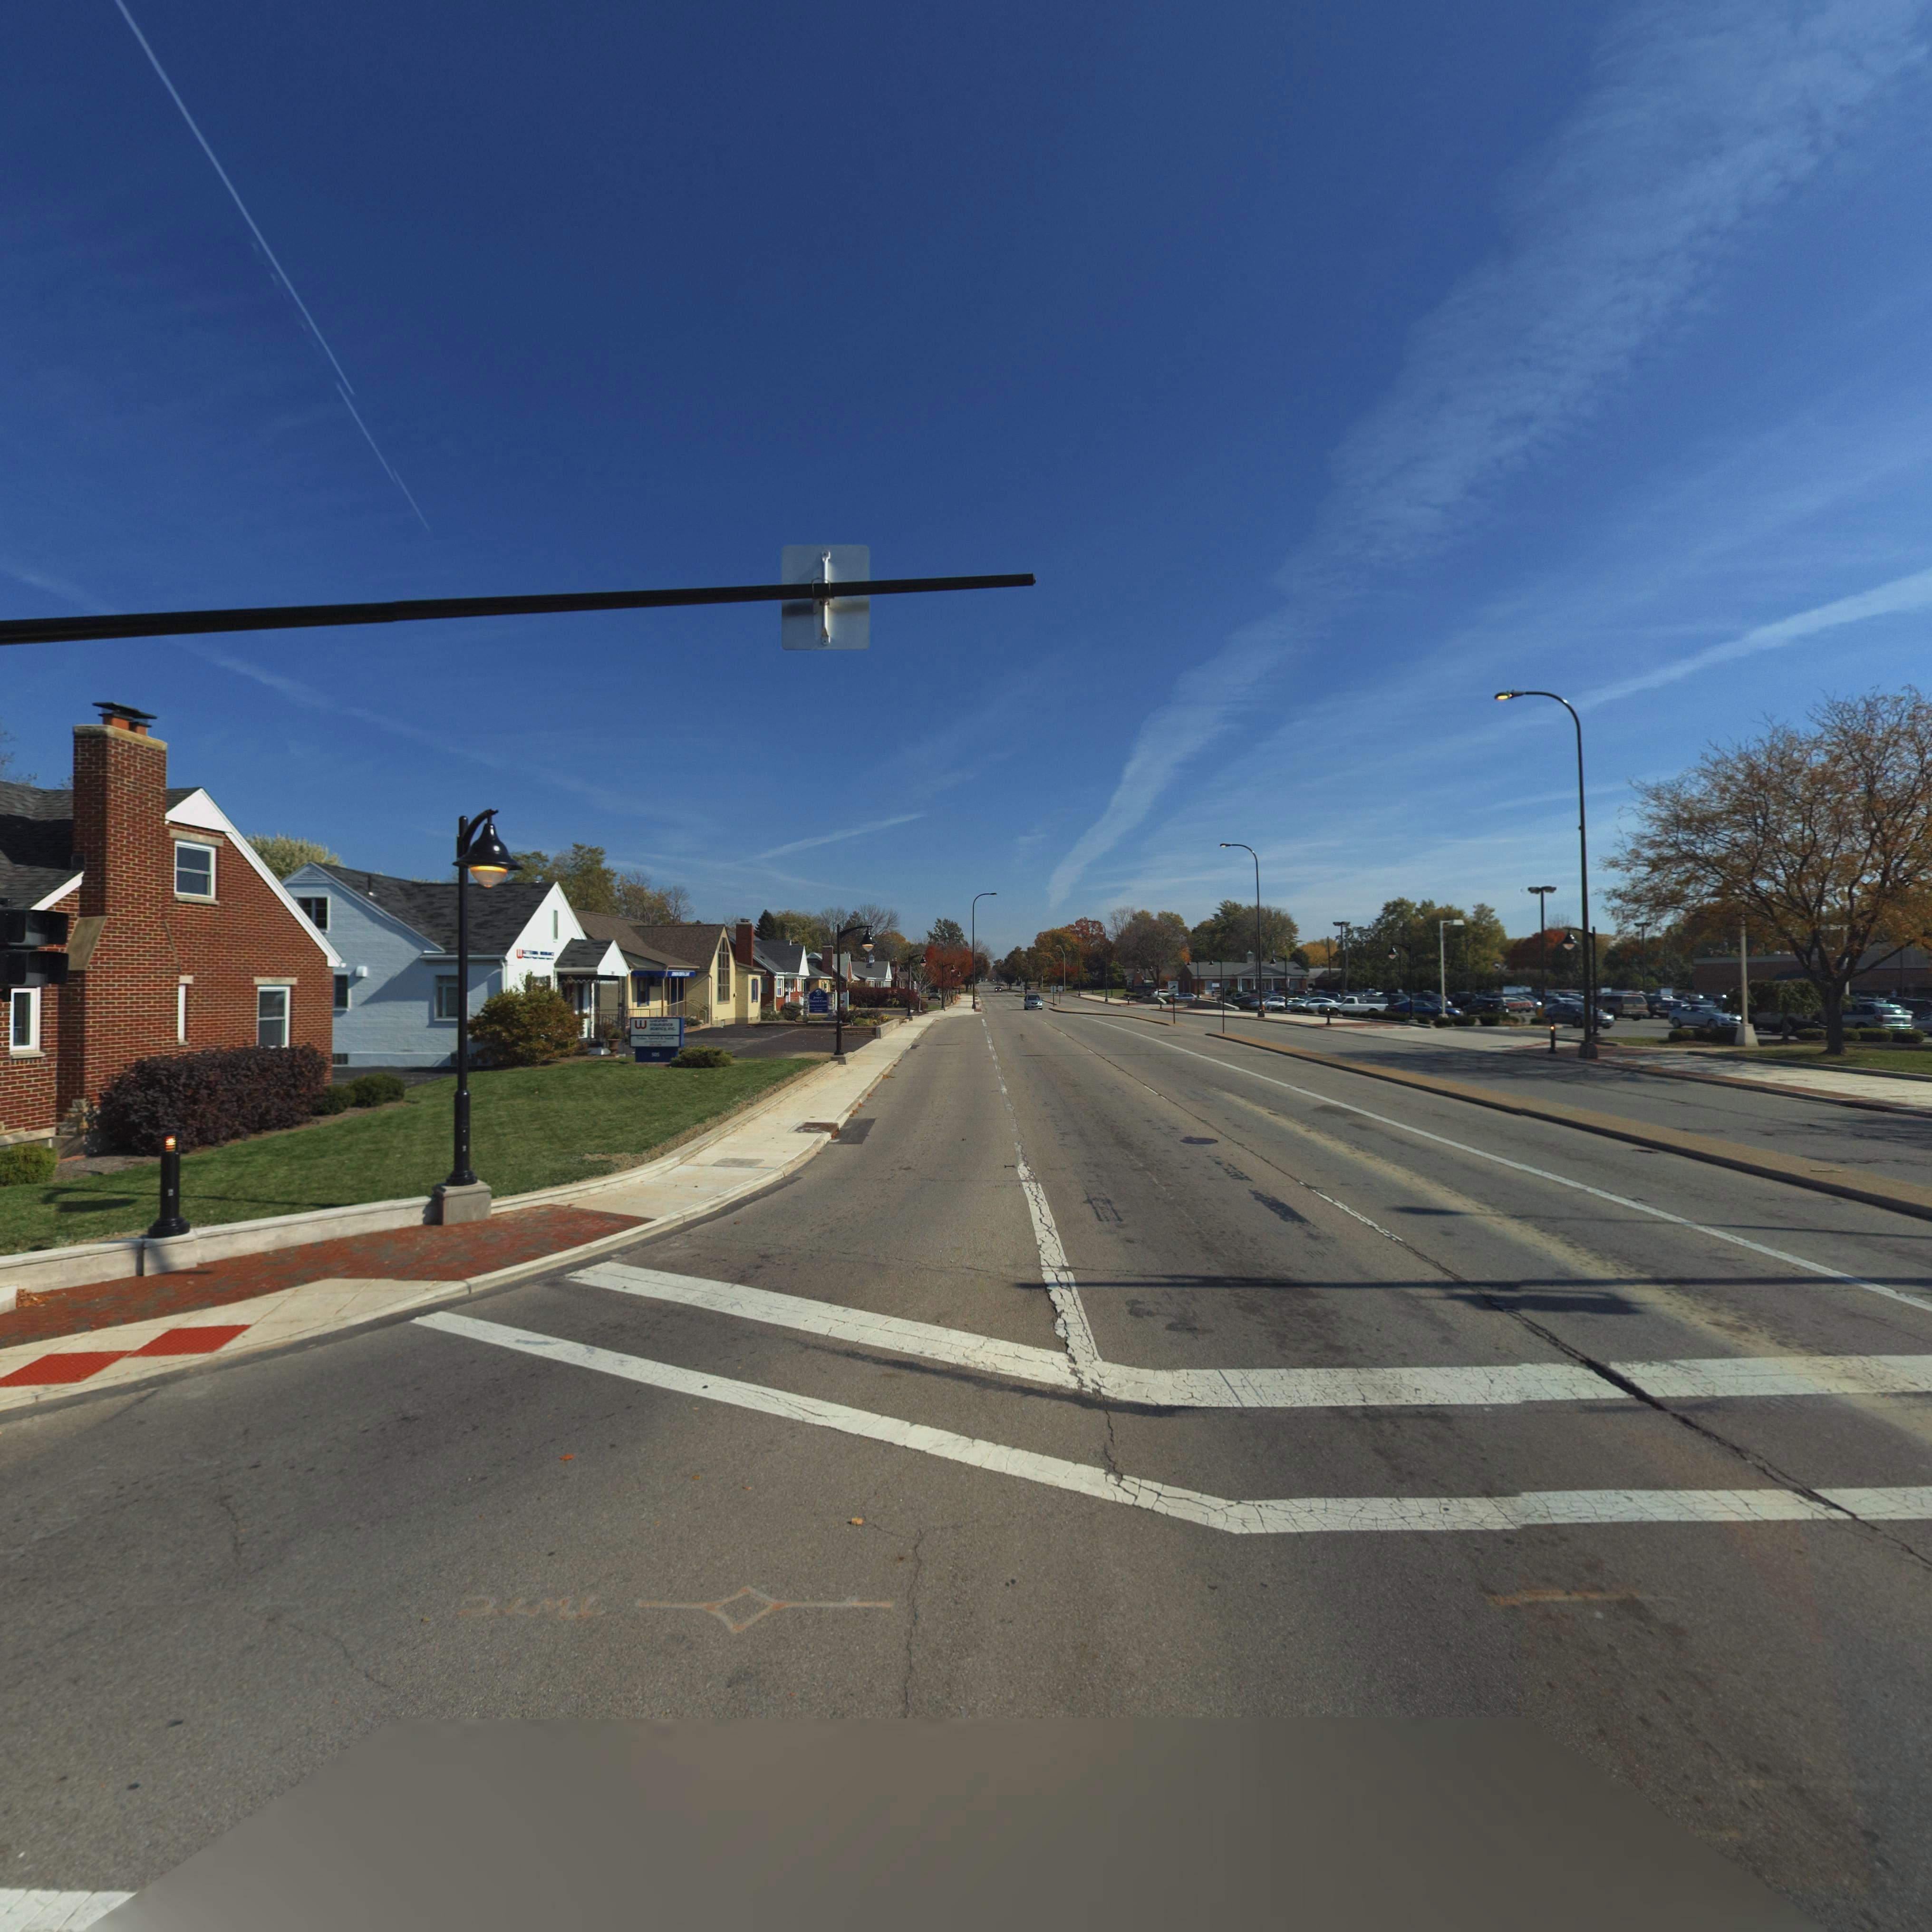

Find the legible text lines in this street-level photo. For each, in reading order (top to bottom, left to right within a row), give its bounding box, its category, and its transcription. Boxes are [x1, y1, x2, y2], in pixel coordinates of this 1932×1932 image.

[516, 948, 524, 959] None: w
[634, 1020, 647, 1029] None: w
[649, 1023, 673, 1026] BusinessName: insuRance
[649, 1027, 676, 1032] BusinessName: aGency, inc.
[651, 1052, 660, 1057] StreetNumber: 5*5